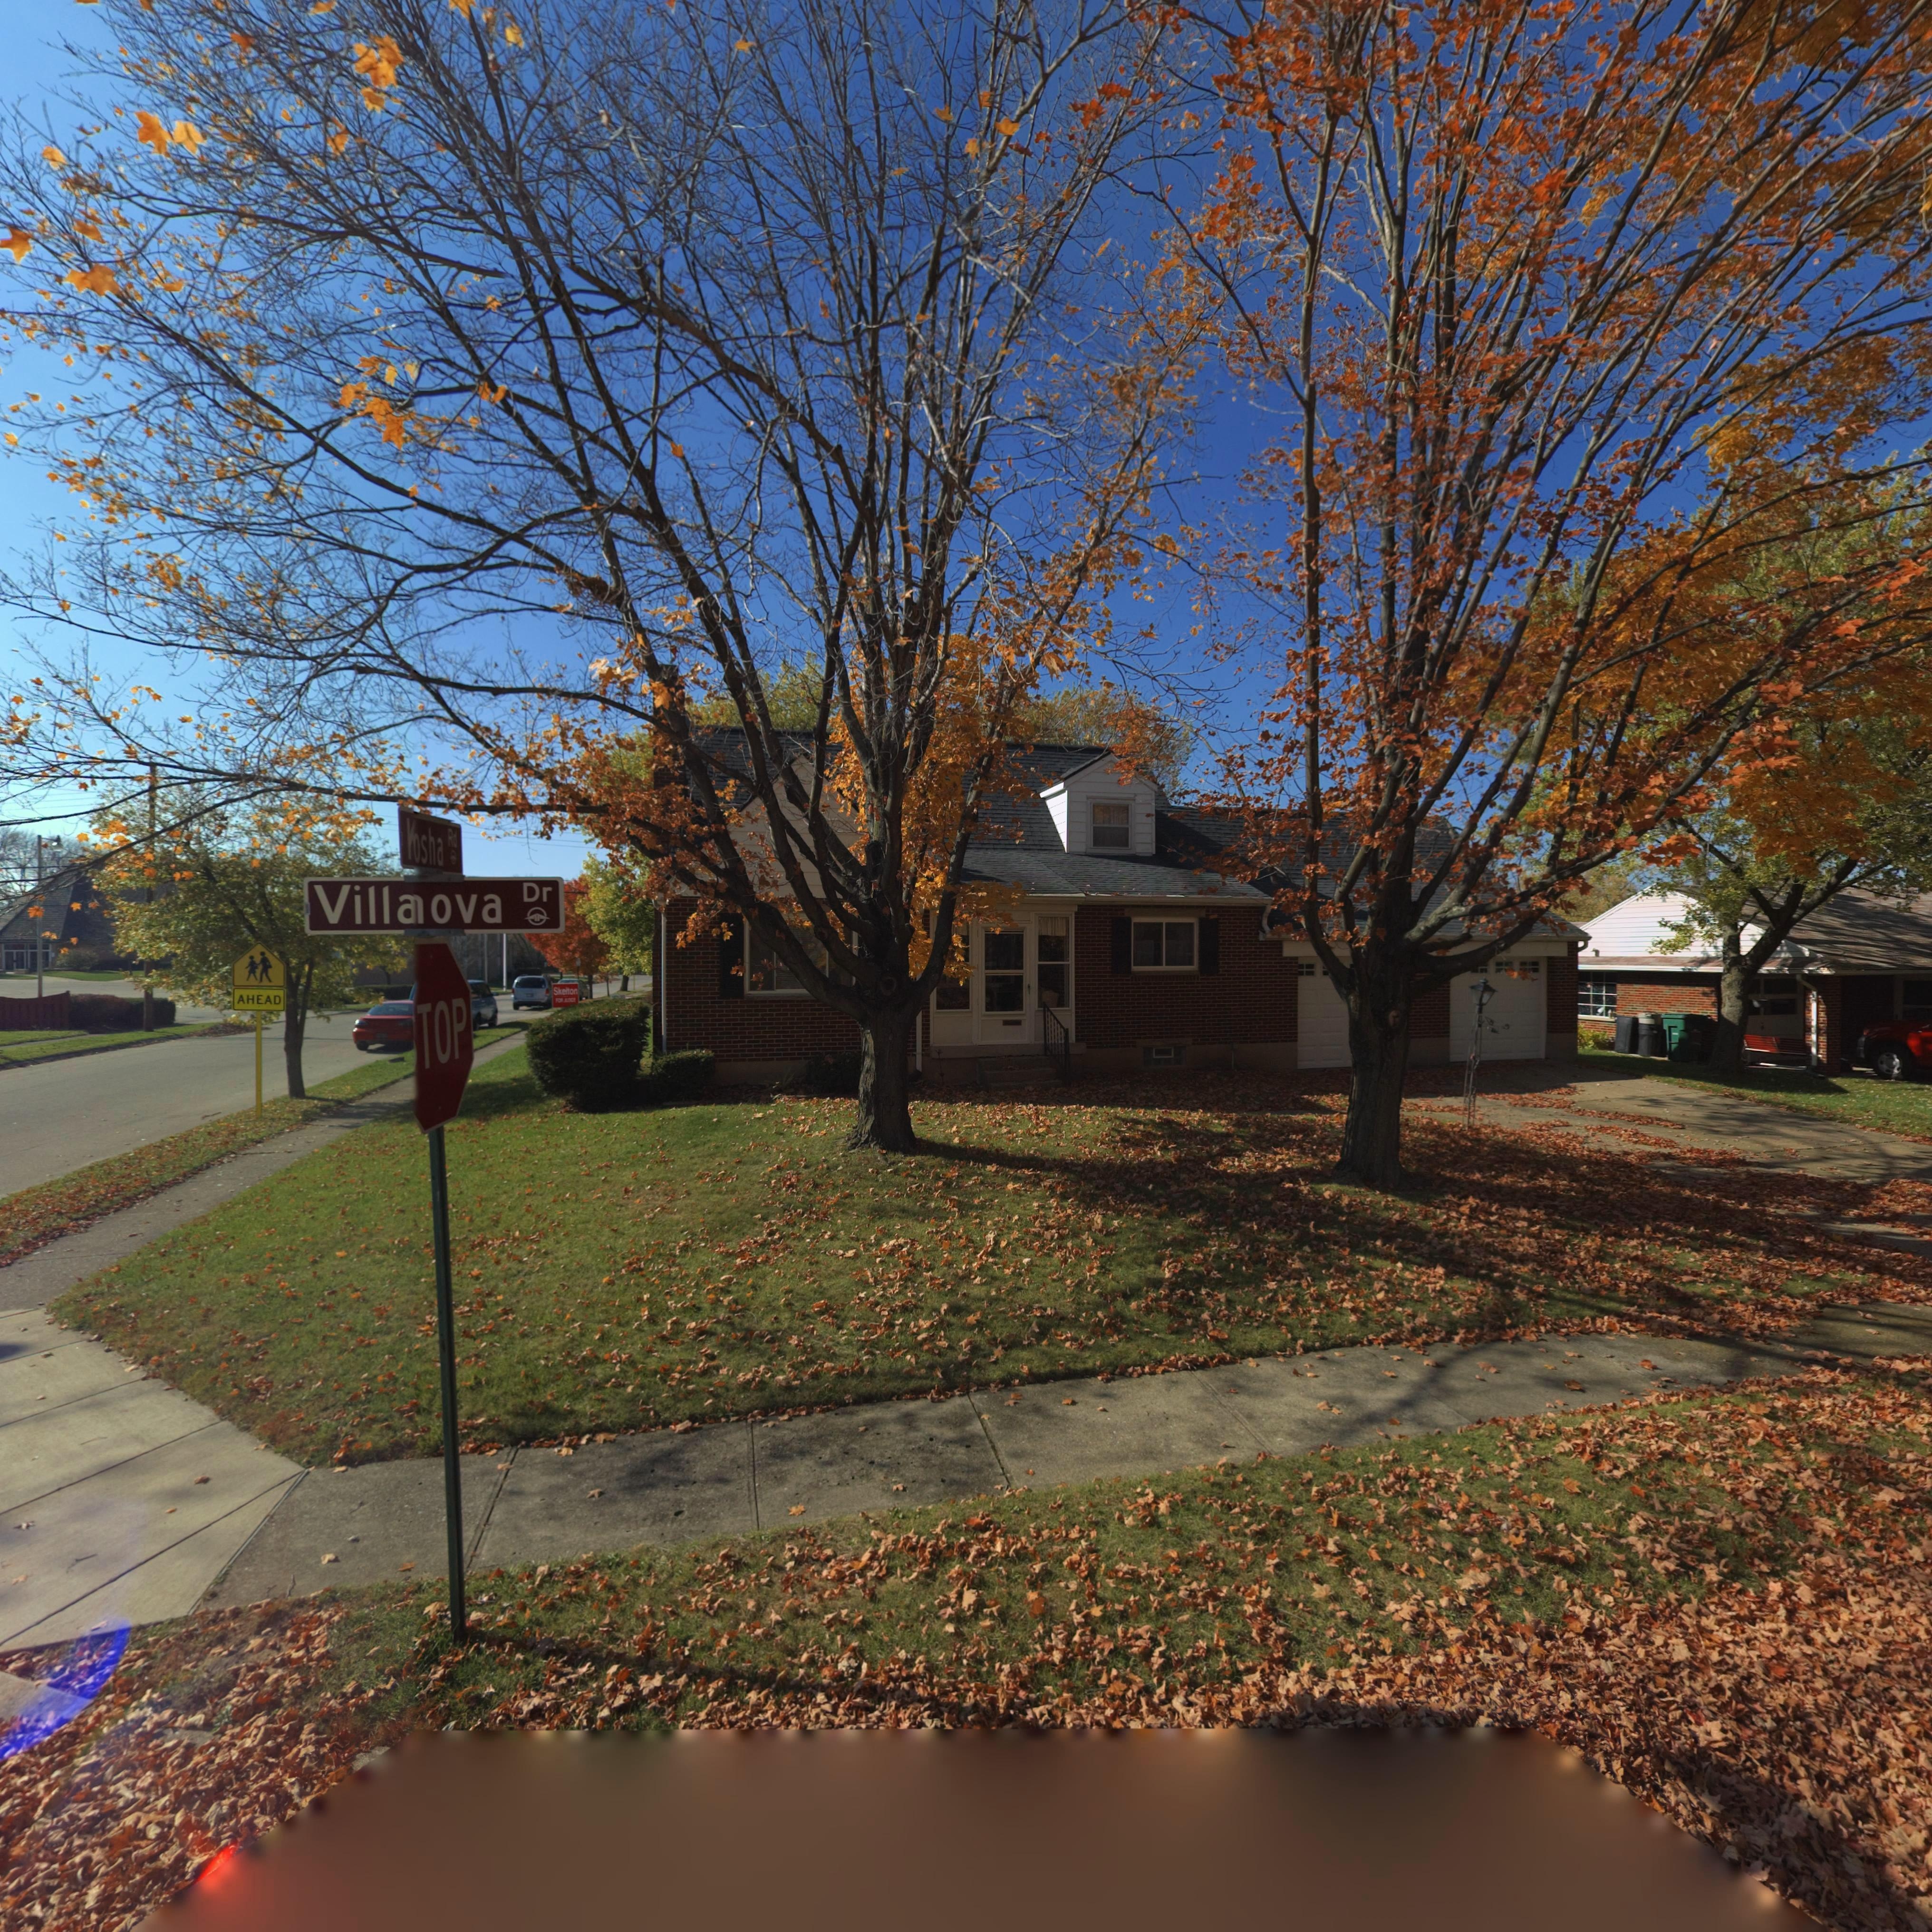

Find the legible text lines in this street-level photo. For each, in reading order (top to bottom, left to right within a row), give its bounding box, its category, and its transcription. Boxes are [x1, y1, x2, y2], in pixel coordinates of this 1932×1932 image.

[414, 825, 458, 868] StreetName: osha Rd
[312, 882, 553, 925] StreetName: Villa*ova Dr
[236, 994, 281, 1005] None: AHEAD
[553, 986, 578, 996] None: Skelton
[555, 997, 576, 1003] None: FOR JUDGE
[415, 997, 468, 1071] None: TOP